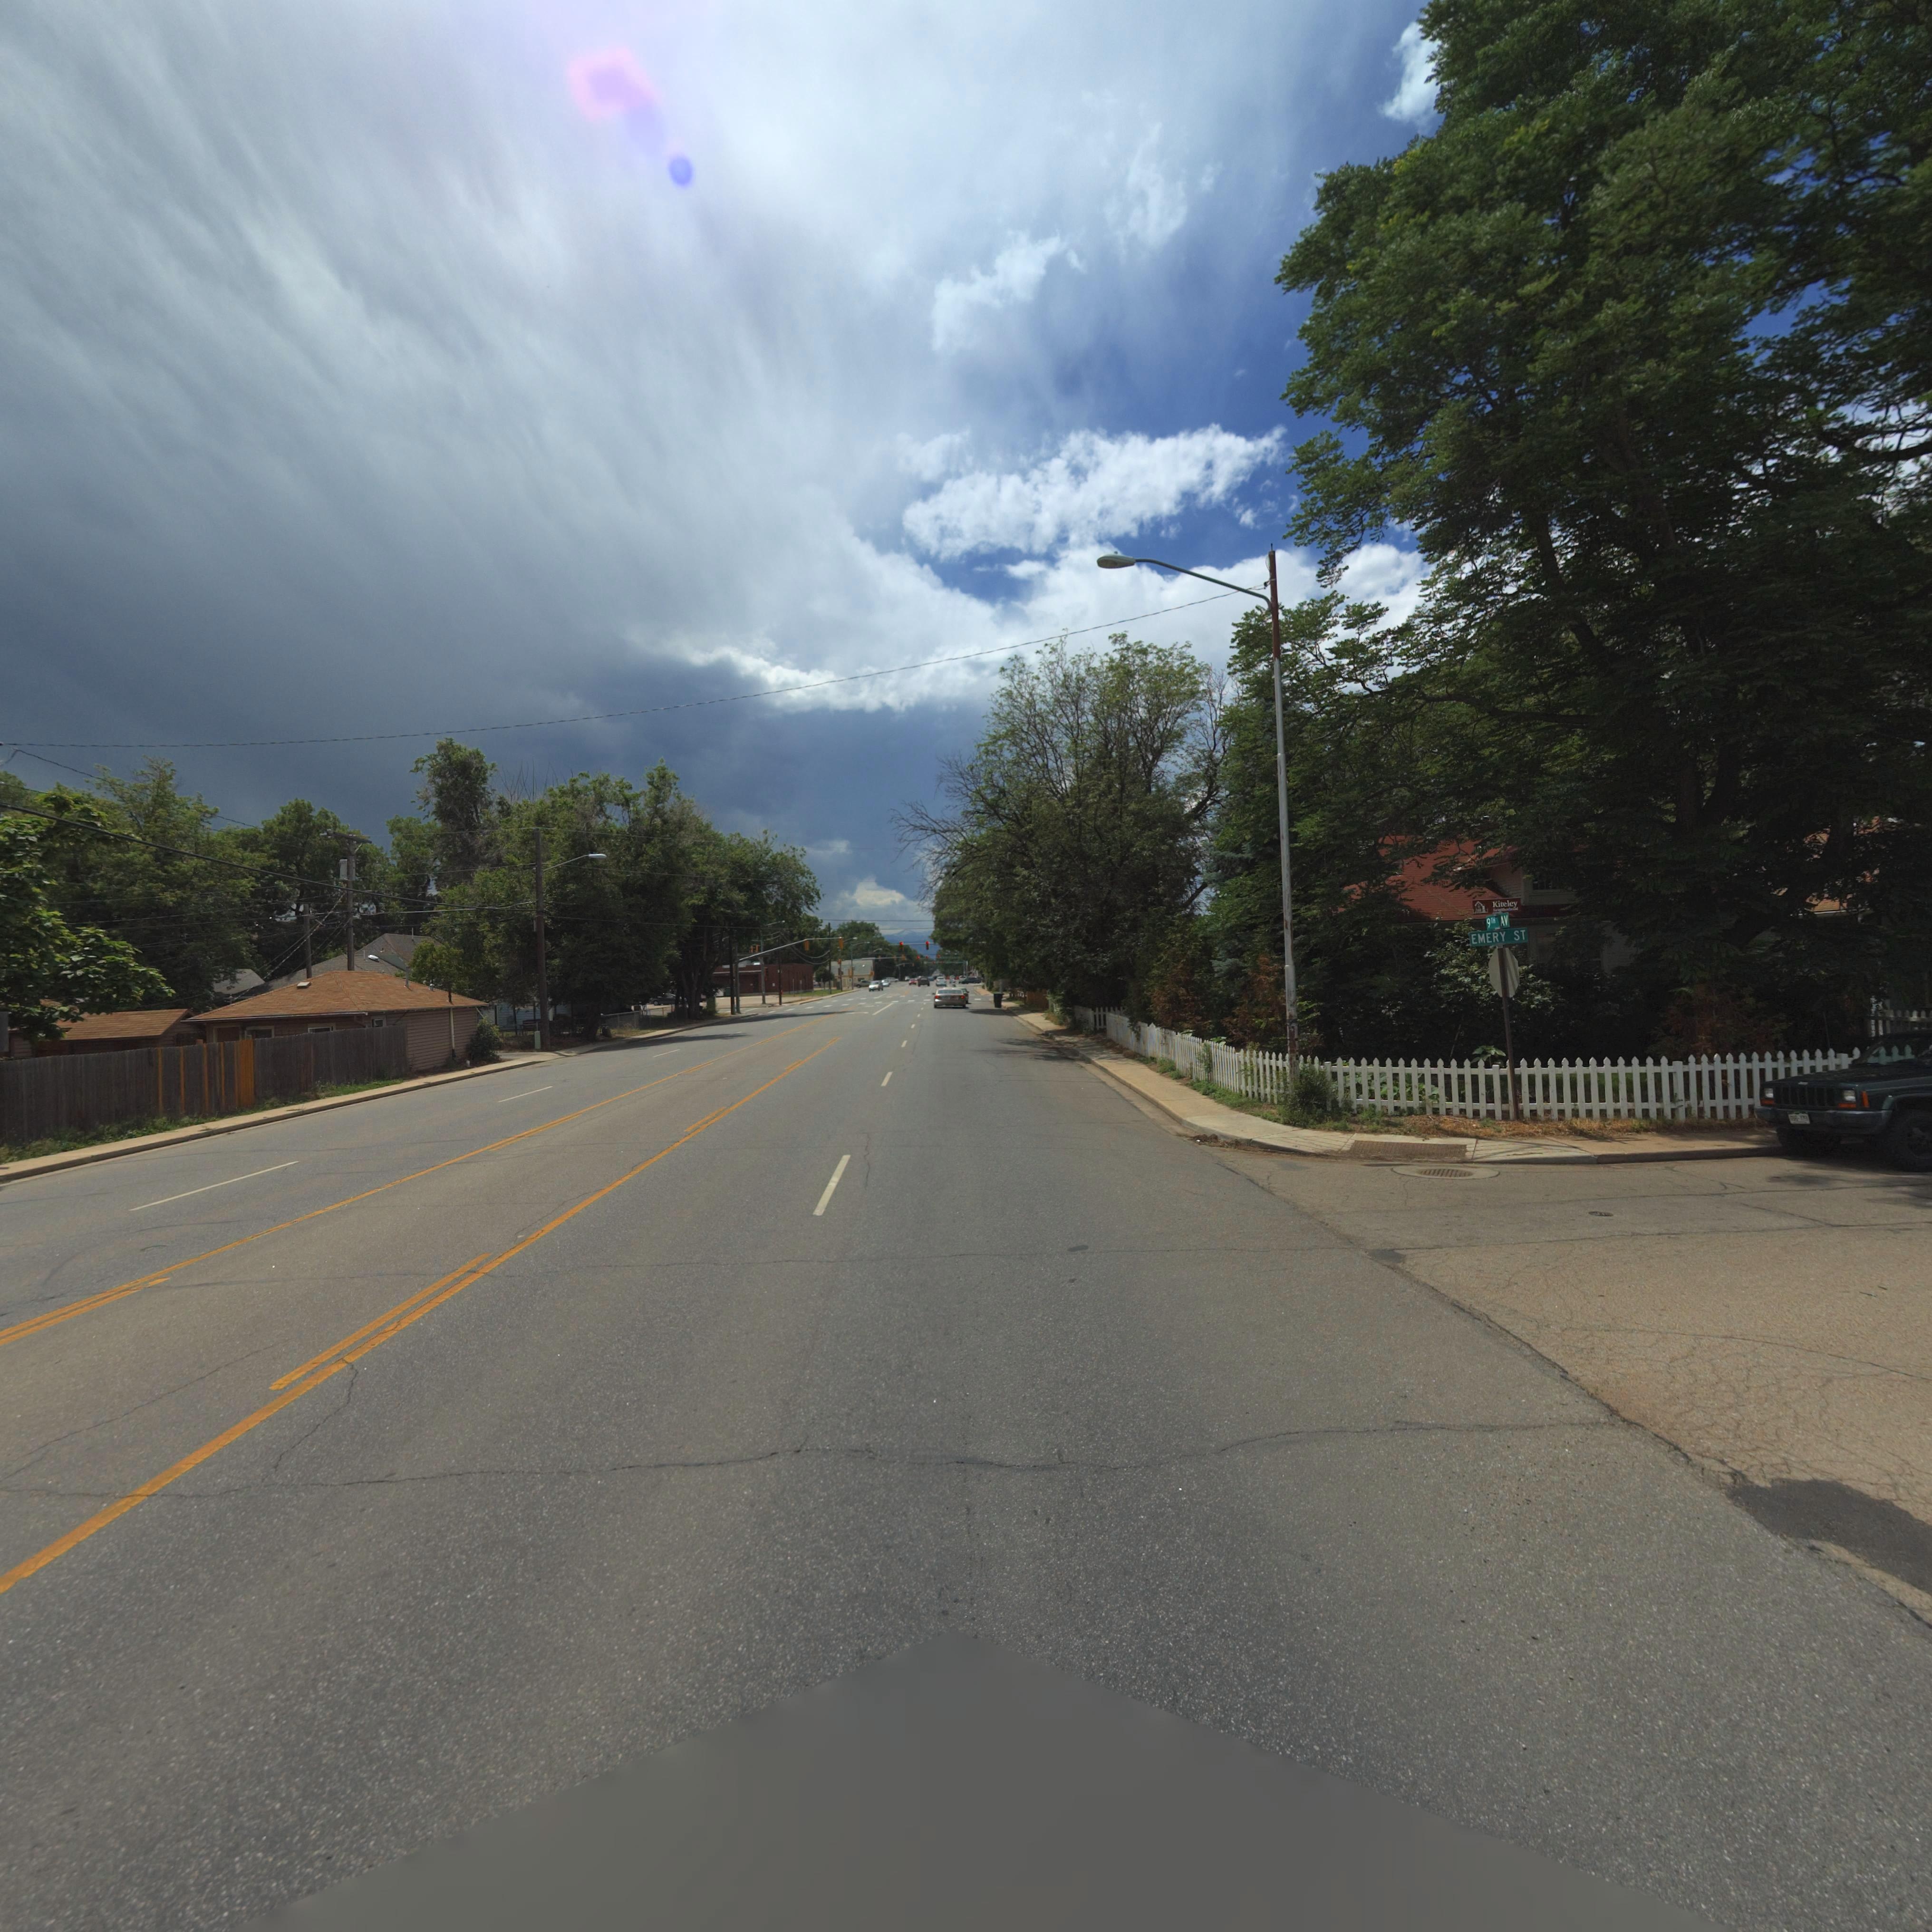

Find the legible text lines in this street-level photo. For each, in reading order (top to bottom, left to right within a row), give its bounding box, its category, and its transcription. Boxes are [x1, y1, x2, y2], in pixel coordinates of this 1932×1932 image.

[1486, 915, 1508, 927] StreetName: 9T* AV
[1471, 930, 1526, 945] StreetName: EMERY ST